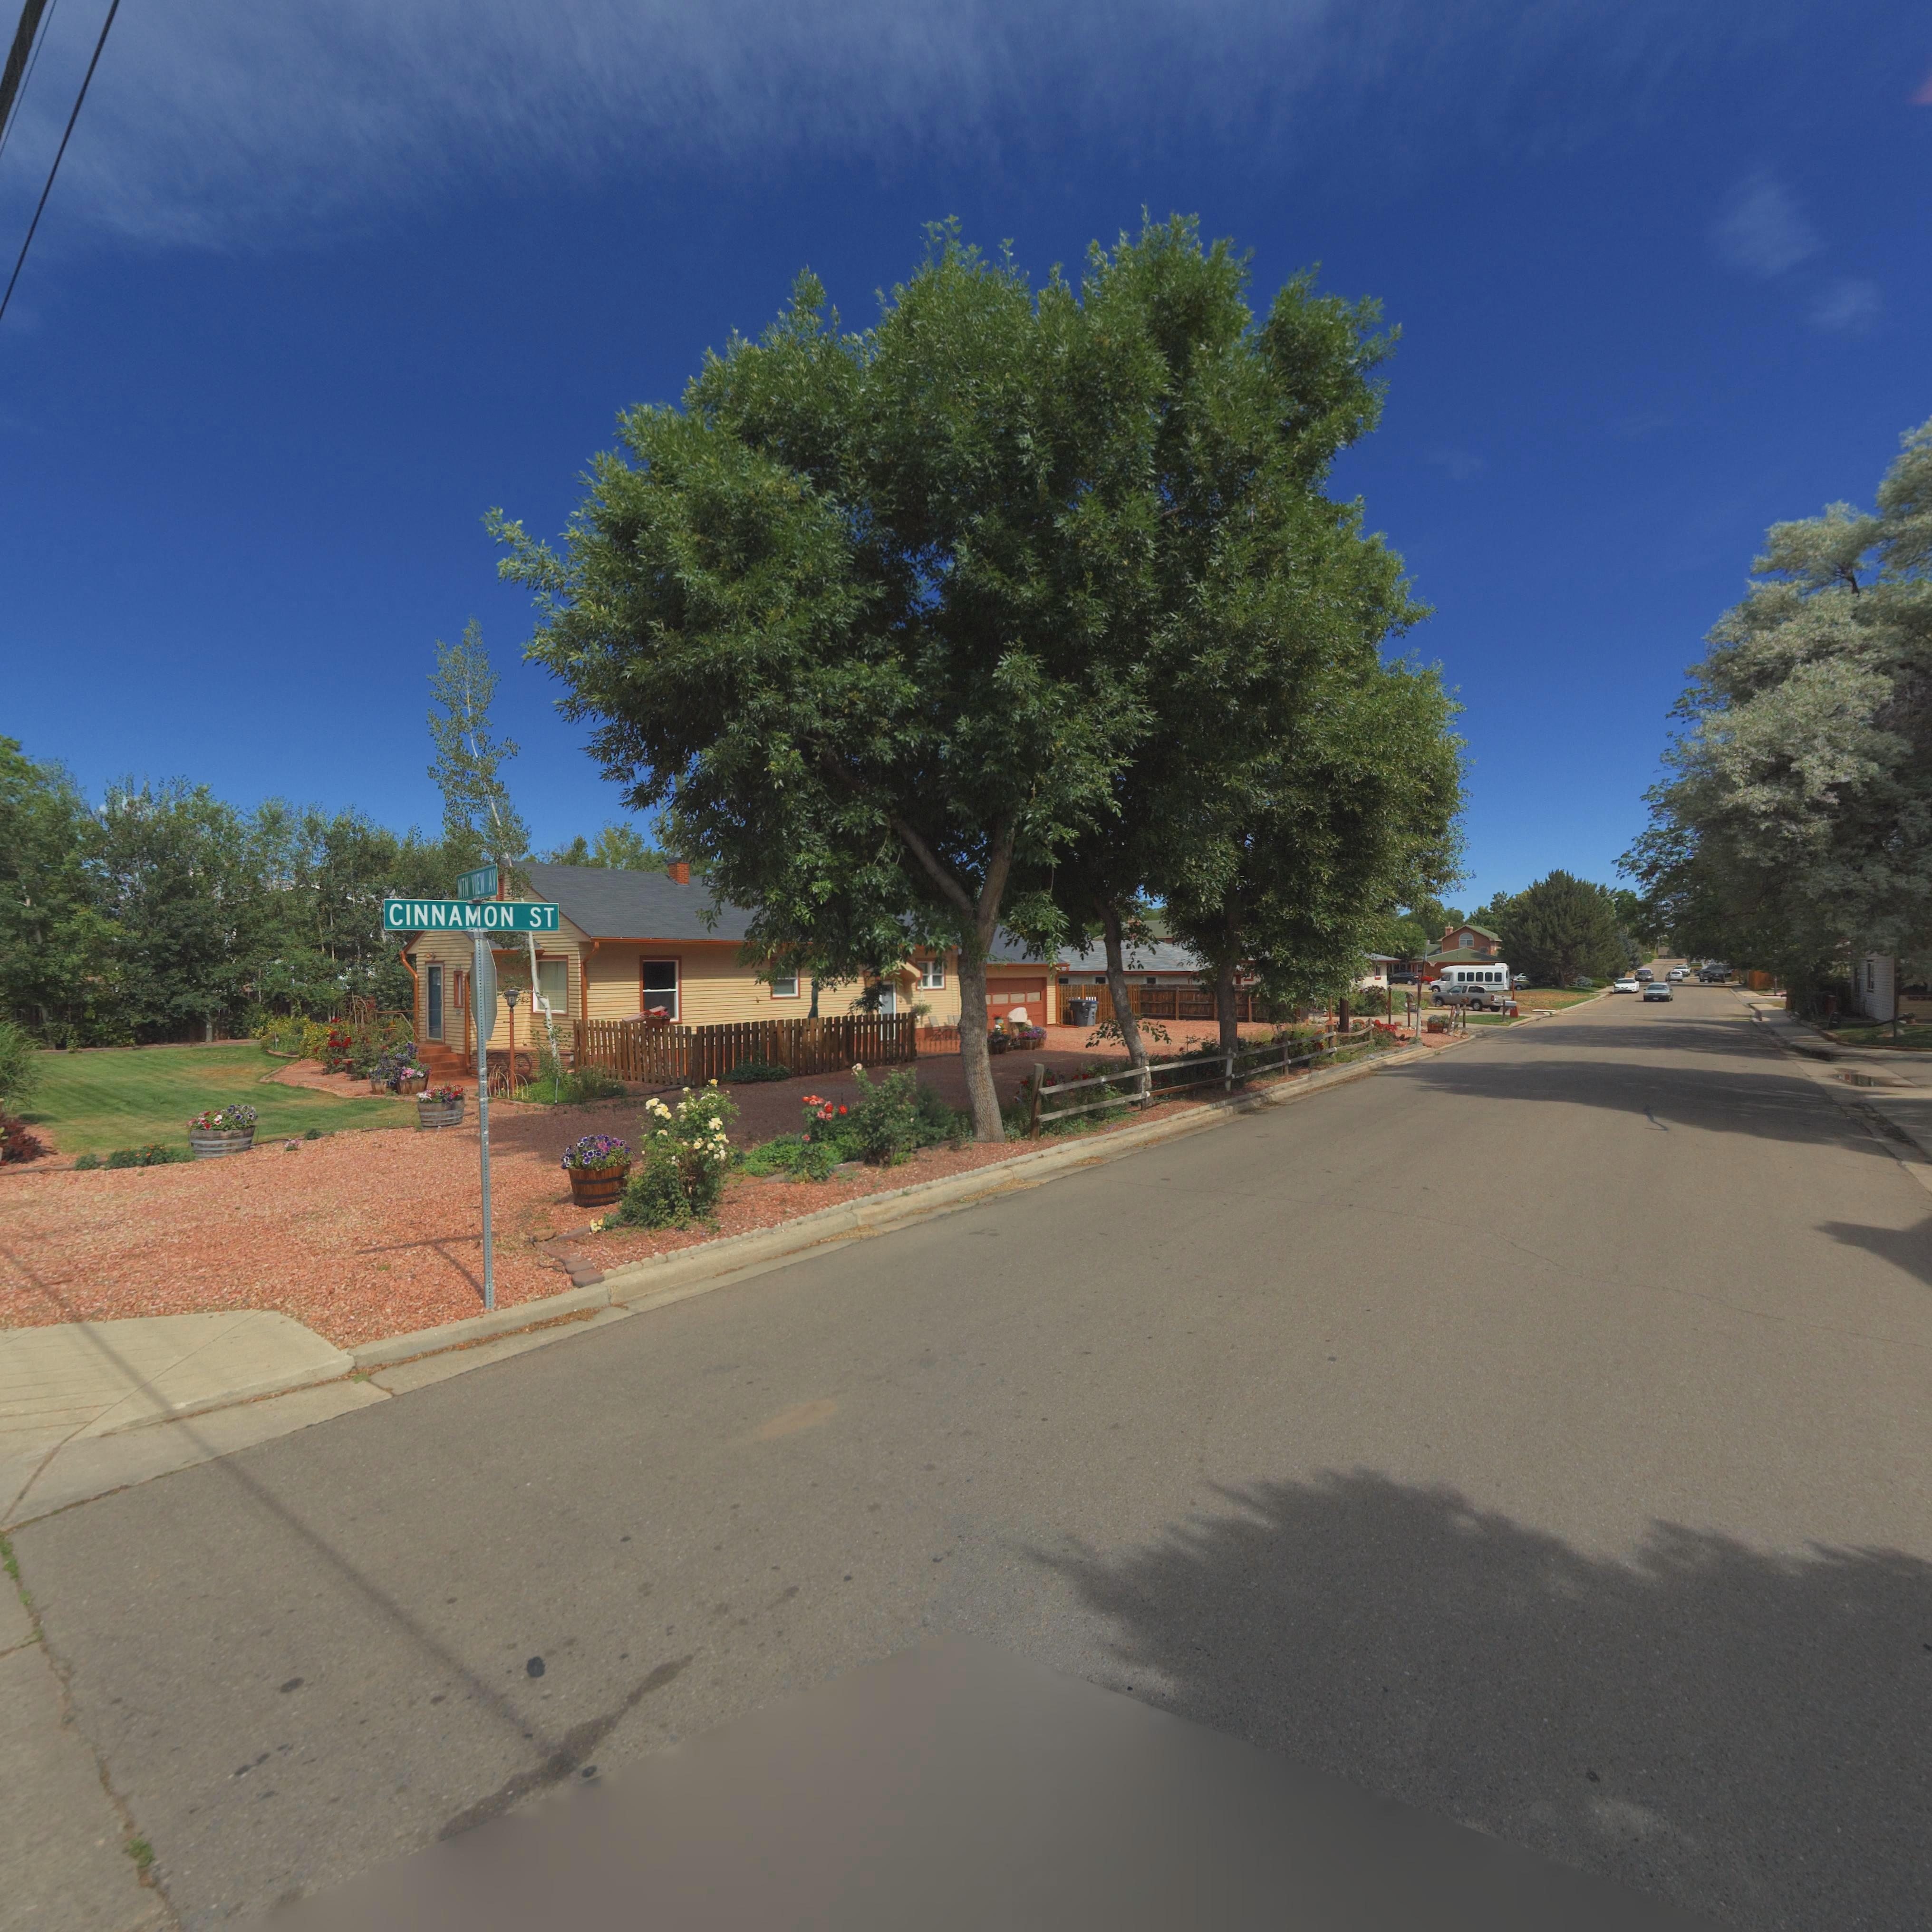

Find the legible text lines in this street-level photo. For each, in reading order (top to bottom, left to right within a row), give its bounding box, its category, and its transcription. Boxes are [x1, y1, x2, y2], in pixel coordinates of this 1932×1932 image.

[457, 868, 496, 899] StreetName: MTN VIEW AV
[388, 902, 554, 927] StreetName: CINNAMON ST